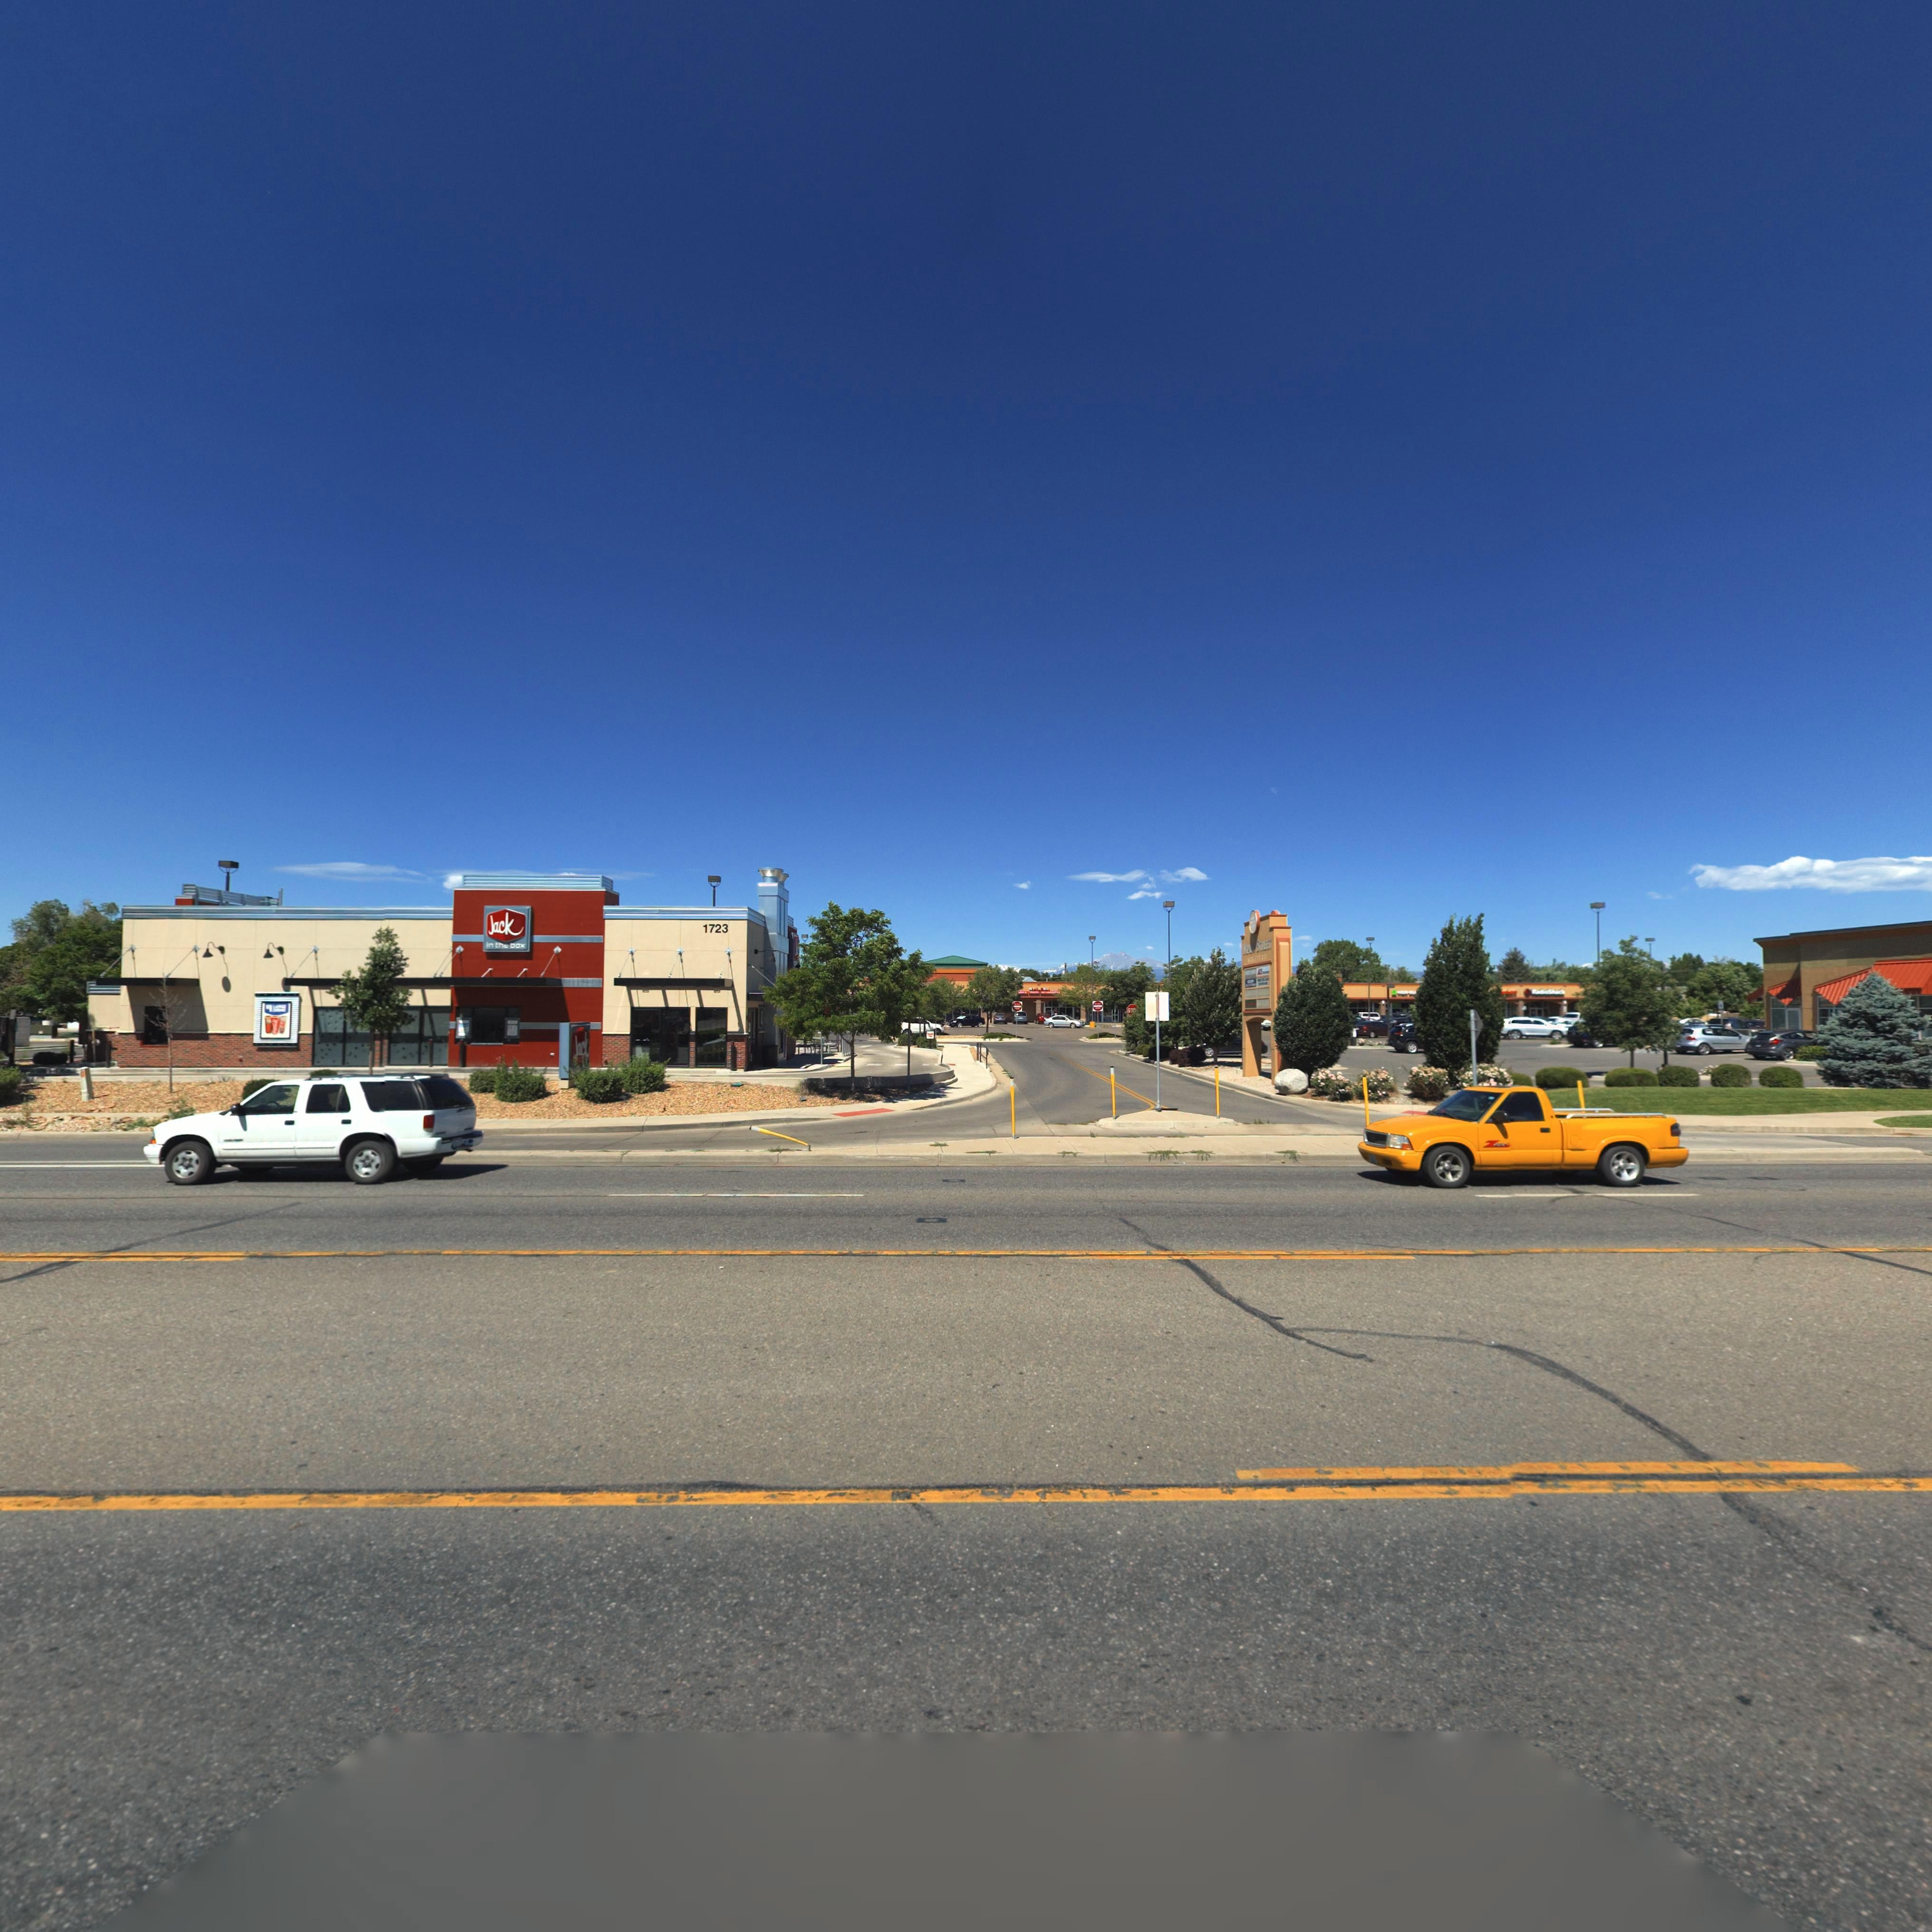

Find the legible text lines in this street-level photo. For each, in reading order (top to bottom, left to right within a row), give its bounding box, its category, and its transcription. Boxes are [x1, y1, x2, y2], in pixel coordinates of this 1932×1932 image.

[487, 911, 524, 936] BusinessName: Jack
[702, 923, 729, 933] StreetNumber: 1723
[485, 942, 526, 948] BusinessName: in the box
[1257, 968, 1263, 975] BusinessName: **E
[1531, 988, 1565, 995] BusinessName: R*d**S****
[572, 1031, 589, 1058] BusinessName: Jack